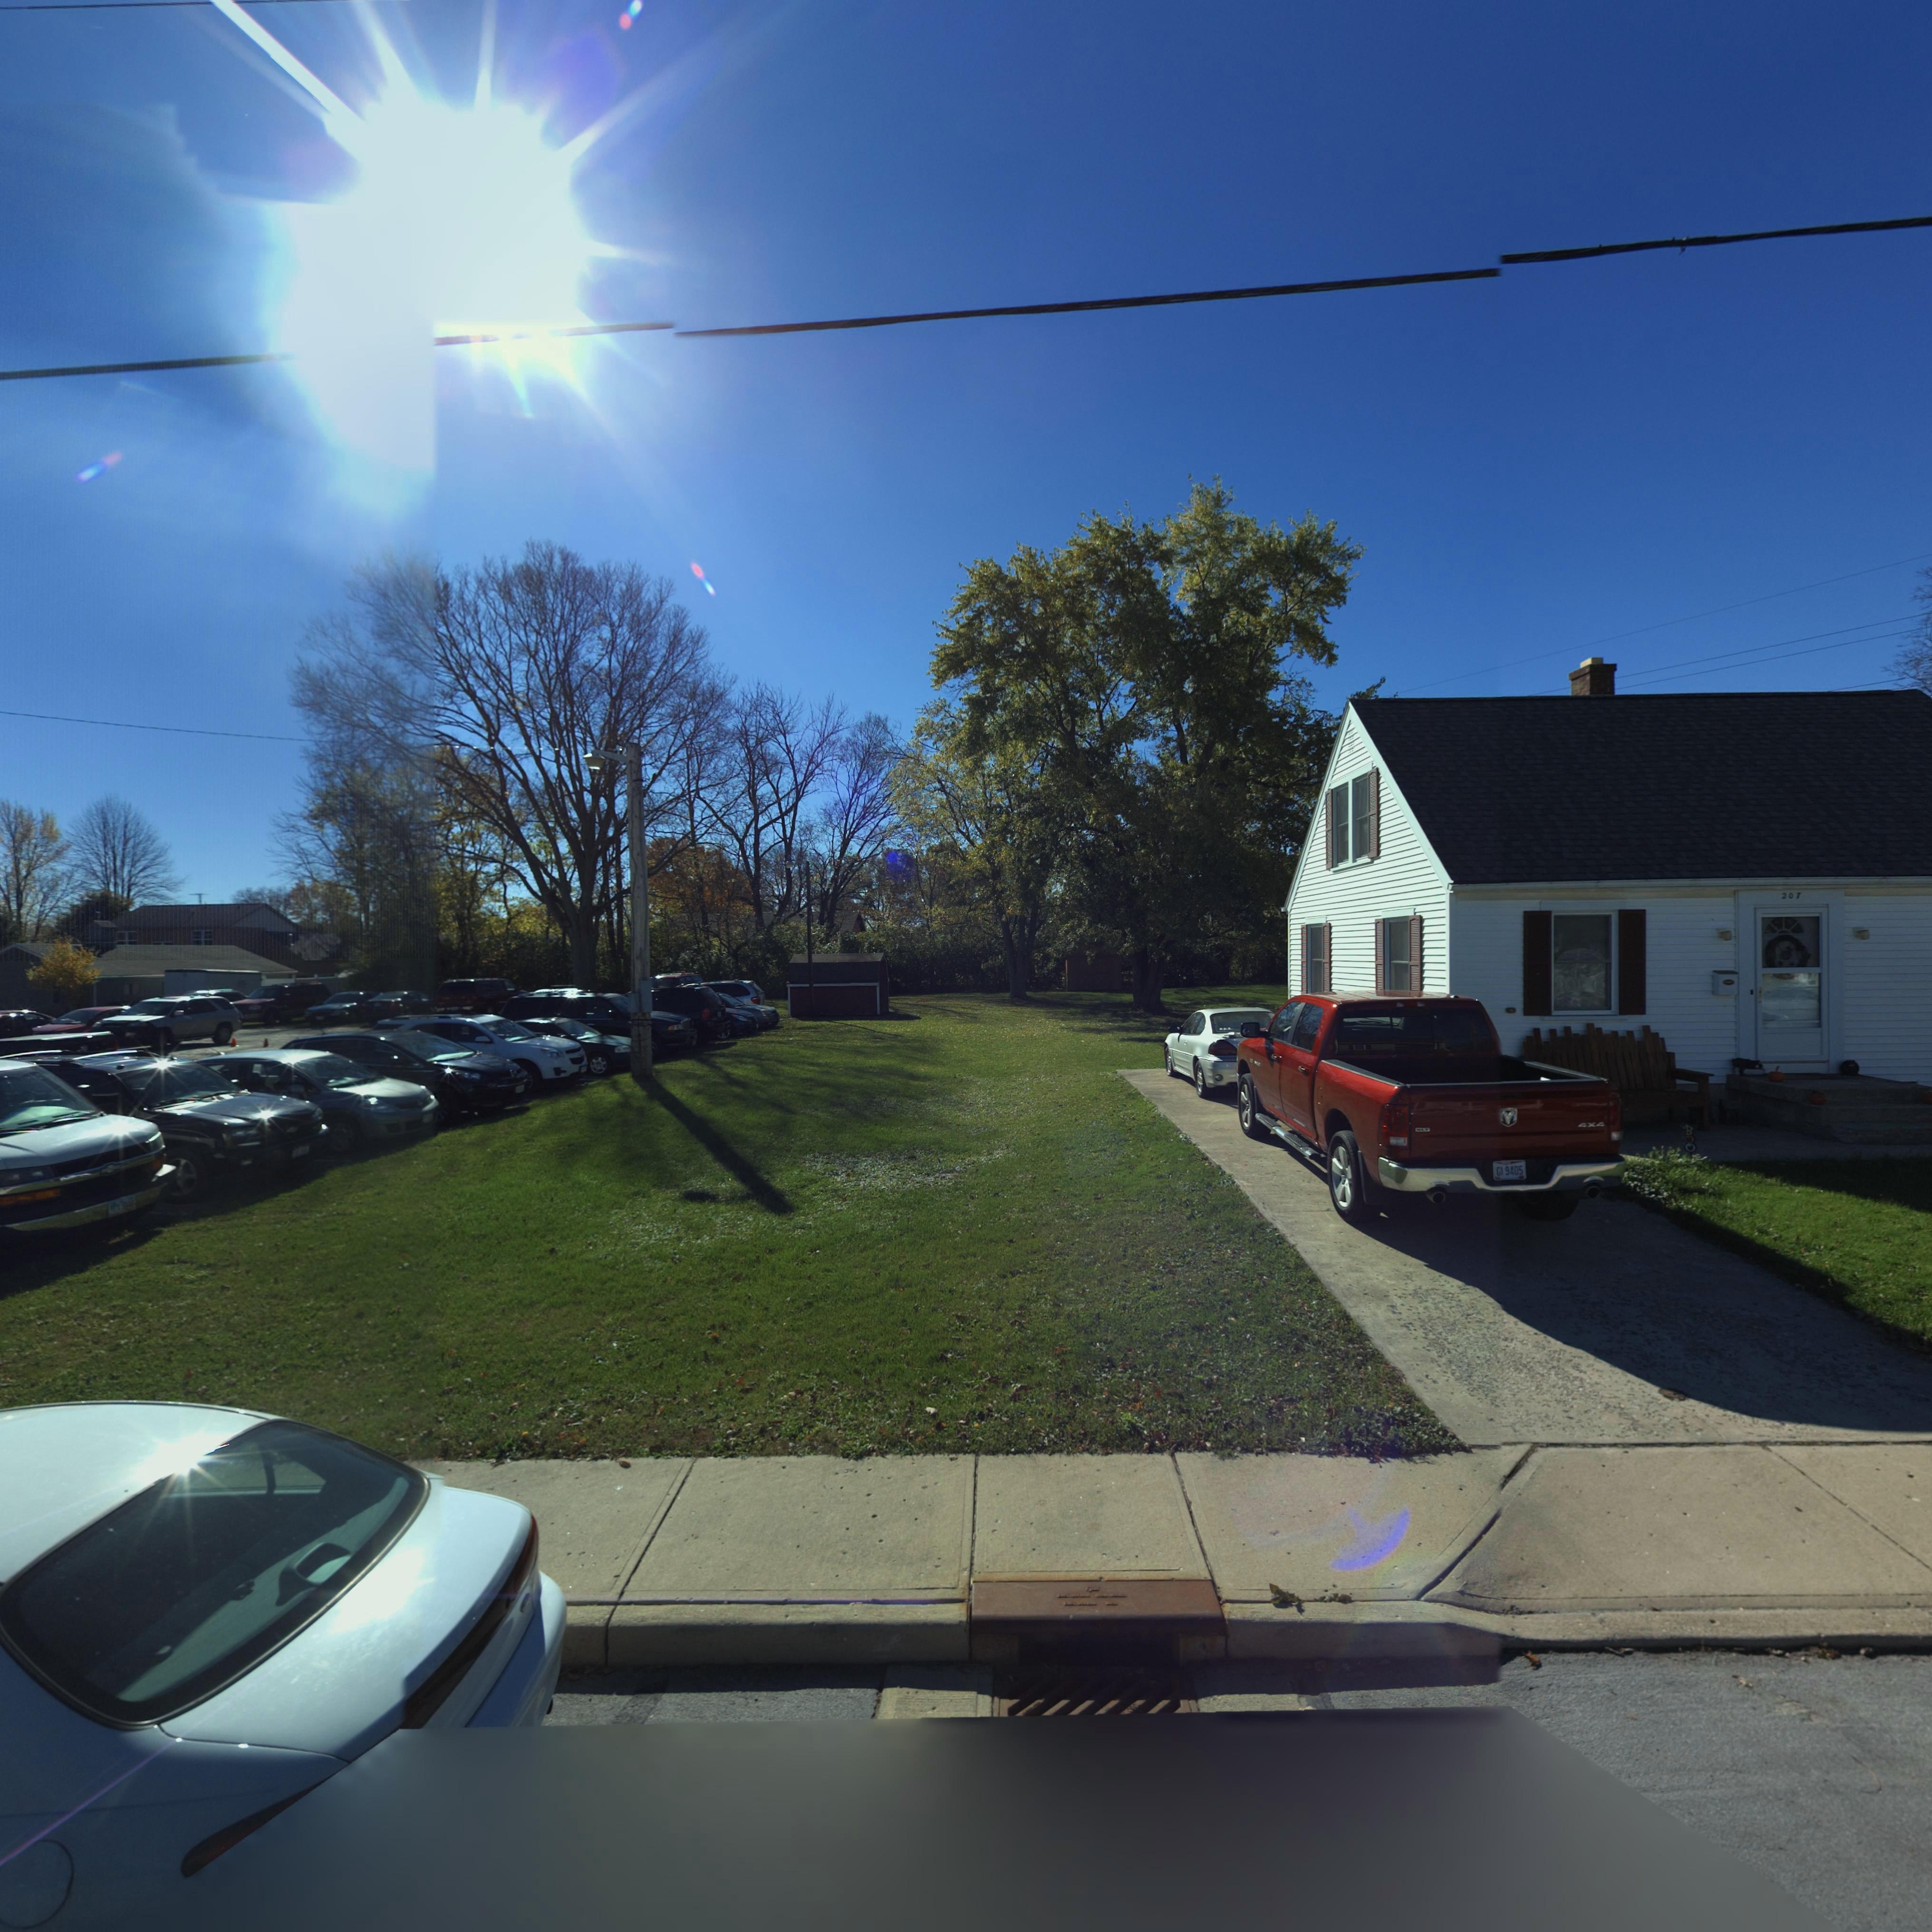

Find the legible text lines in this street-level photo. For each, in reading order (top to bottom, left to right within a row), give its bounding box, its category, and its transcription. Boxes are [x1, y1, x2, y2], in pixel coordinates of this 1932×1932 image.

[1781, 892, 1801, 899] StreetNumber: 207
[1576, 1121, 1605, 1128] None: 4x4
[1496, 1164, 1524, 1177] None: G**9405